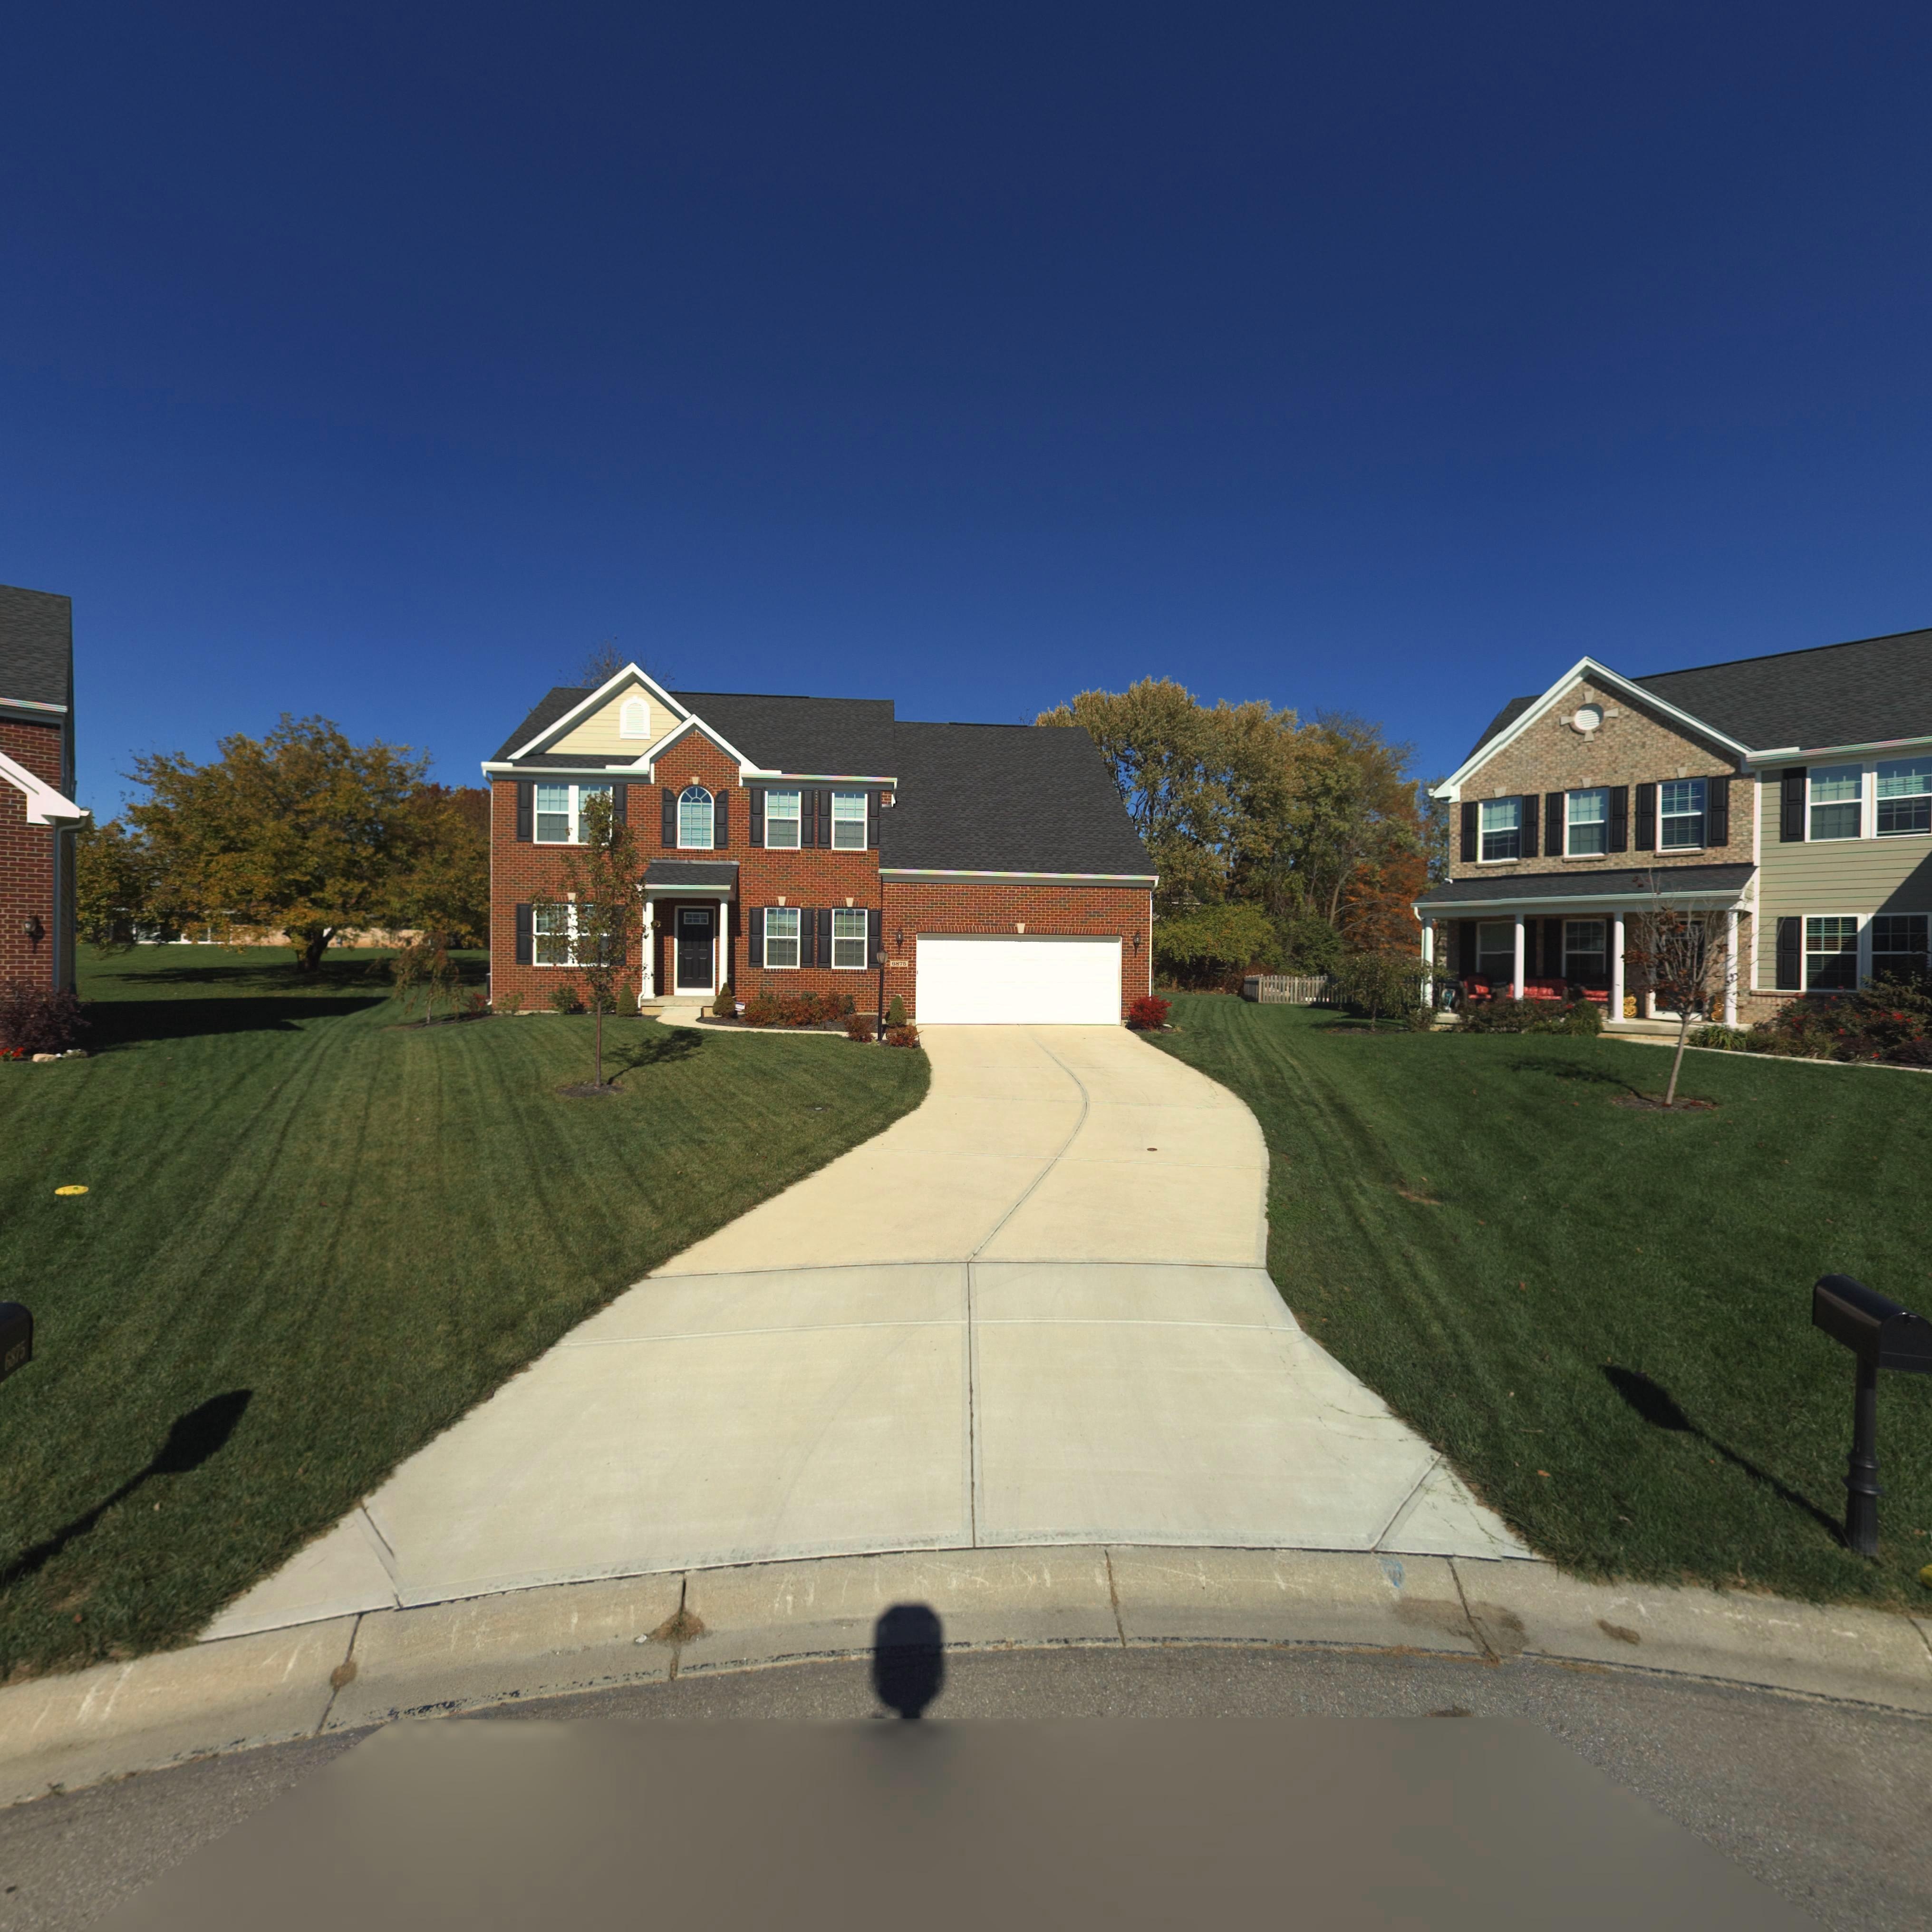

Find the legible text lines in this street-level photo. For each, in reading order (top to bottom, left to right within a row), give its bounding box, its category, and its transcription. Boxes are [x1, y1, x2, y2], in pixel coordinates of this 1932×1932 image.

[891, 961, 908, 967] StreetNumber: *87*
[3, 1339, 27, 1373] StreetNumber: 6875